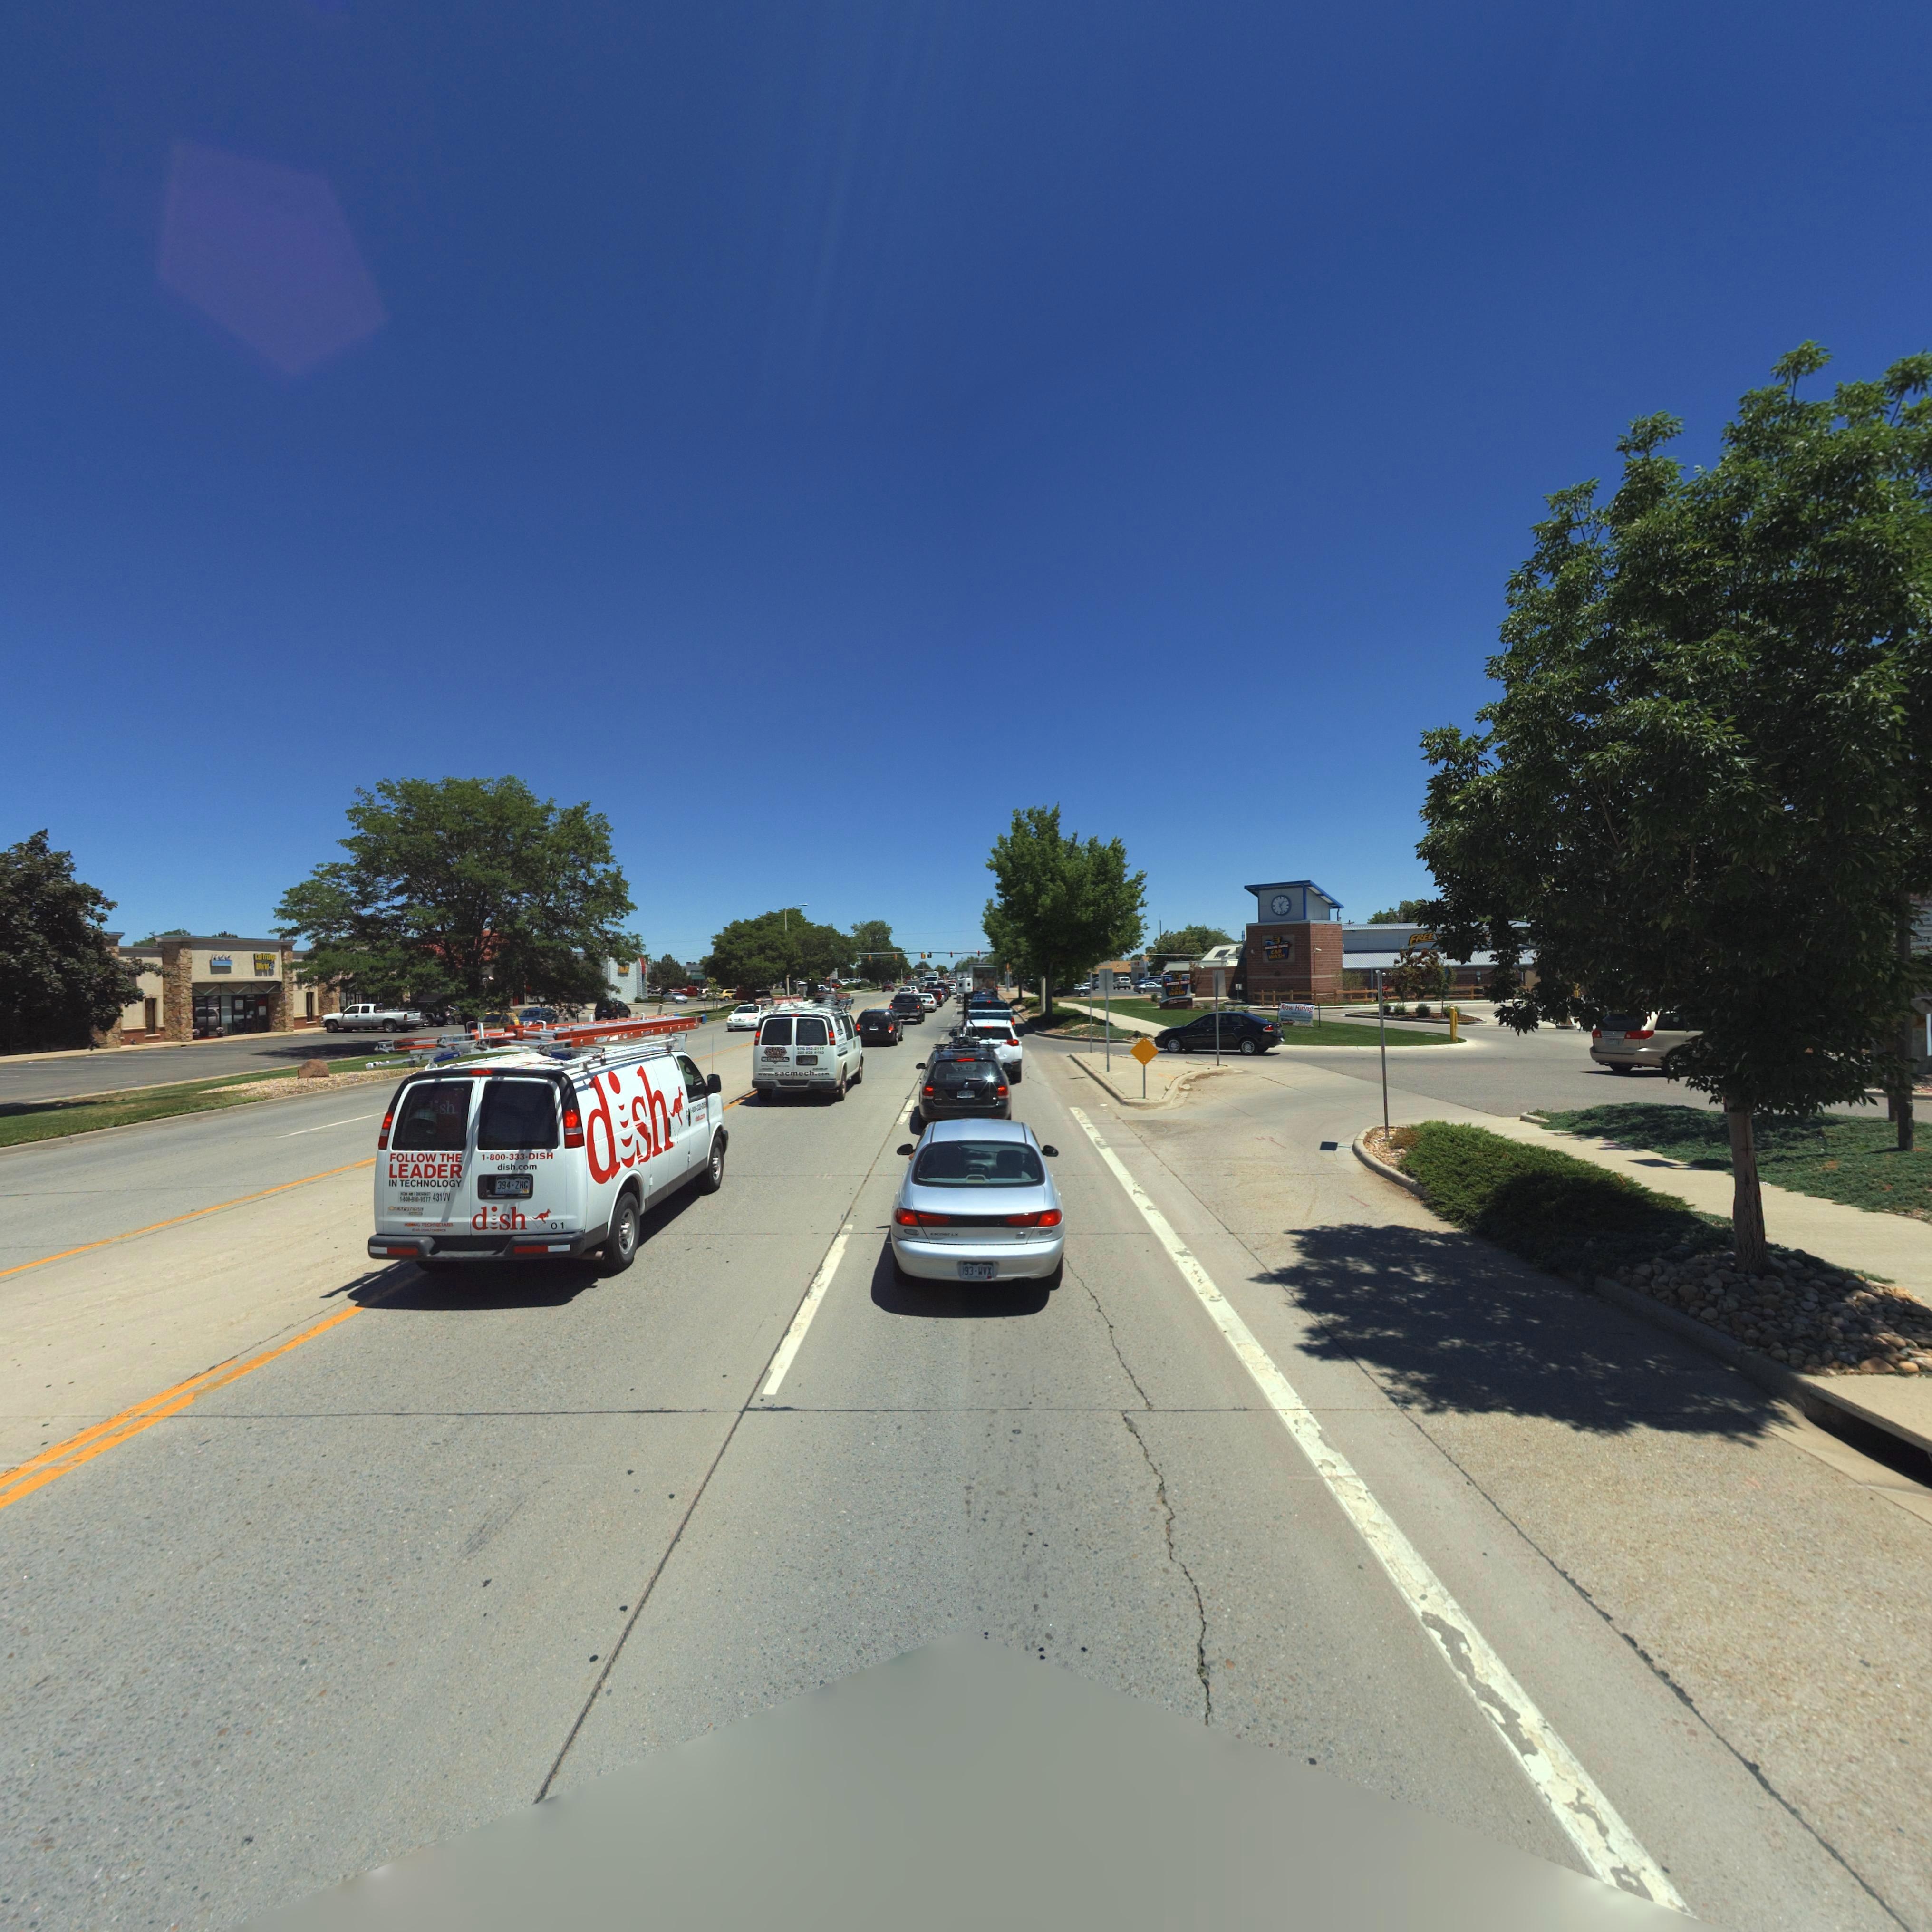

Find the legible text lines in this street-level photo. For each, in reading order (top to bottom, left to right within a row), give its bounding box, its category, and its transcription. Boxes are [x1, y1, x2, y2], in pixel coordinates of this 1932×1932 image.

[1264, 943, 1288, 950] BusinessName: ***EZ* THRU
[1270, 949, 1282, 954] BusinessName: CAR
[254, 952, 277, 962] BusinessName: C**tridg*
[1268, 953, 1285, 959] BusinessName: WASH
[255, 962, 269, 970] BusinessName: World
[1171, 985, 1182, 991] BusinessName: CAR
[1168, 989, 1186, 995] BusinessName: WASH